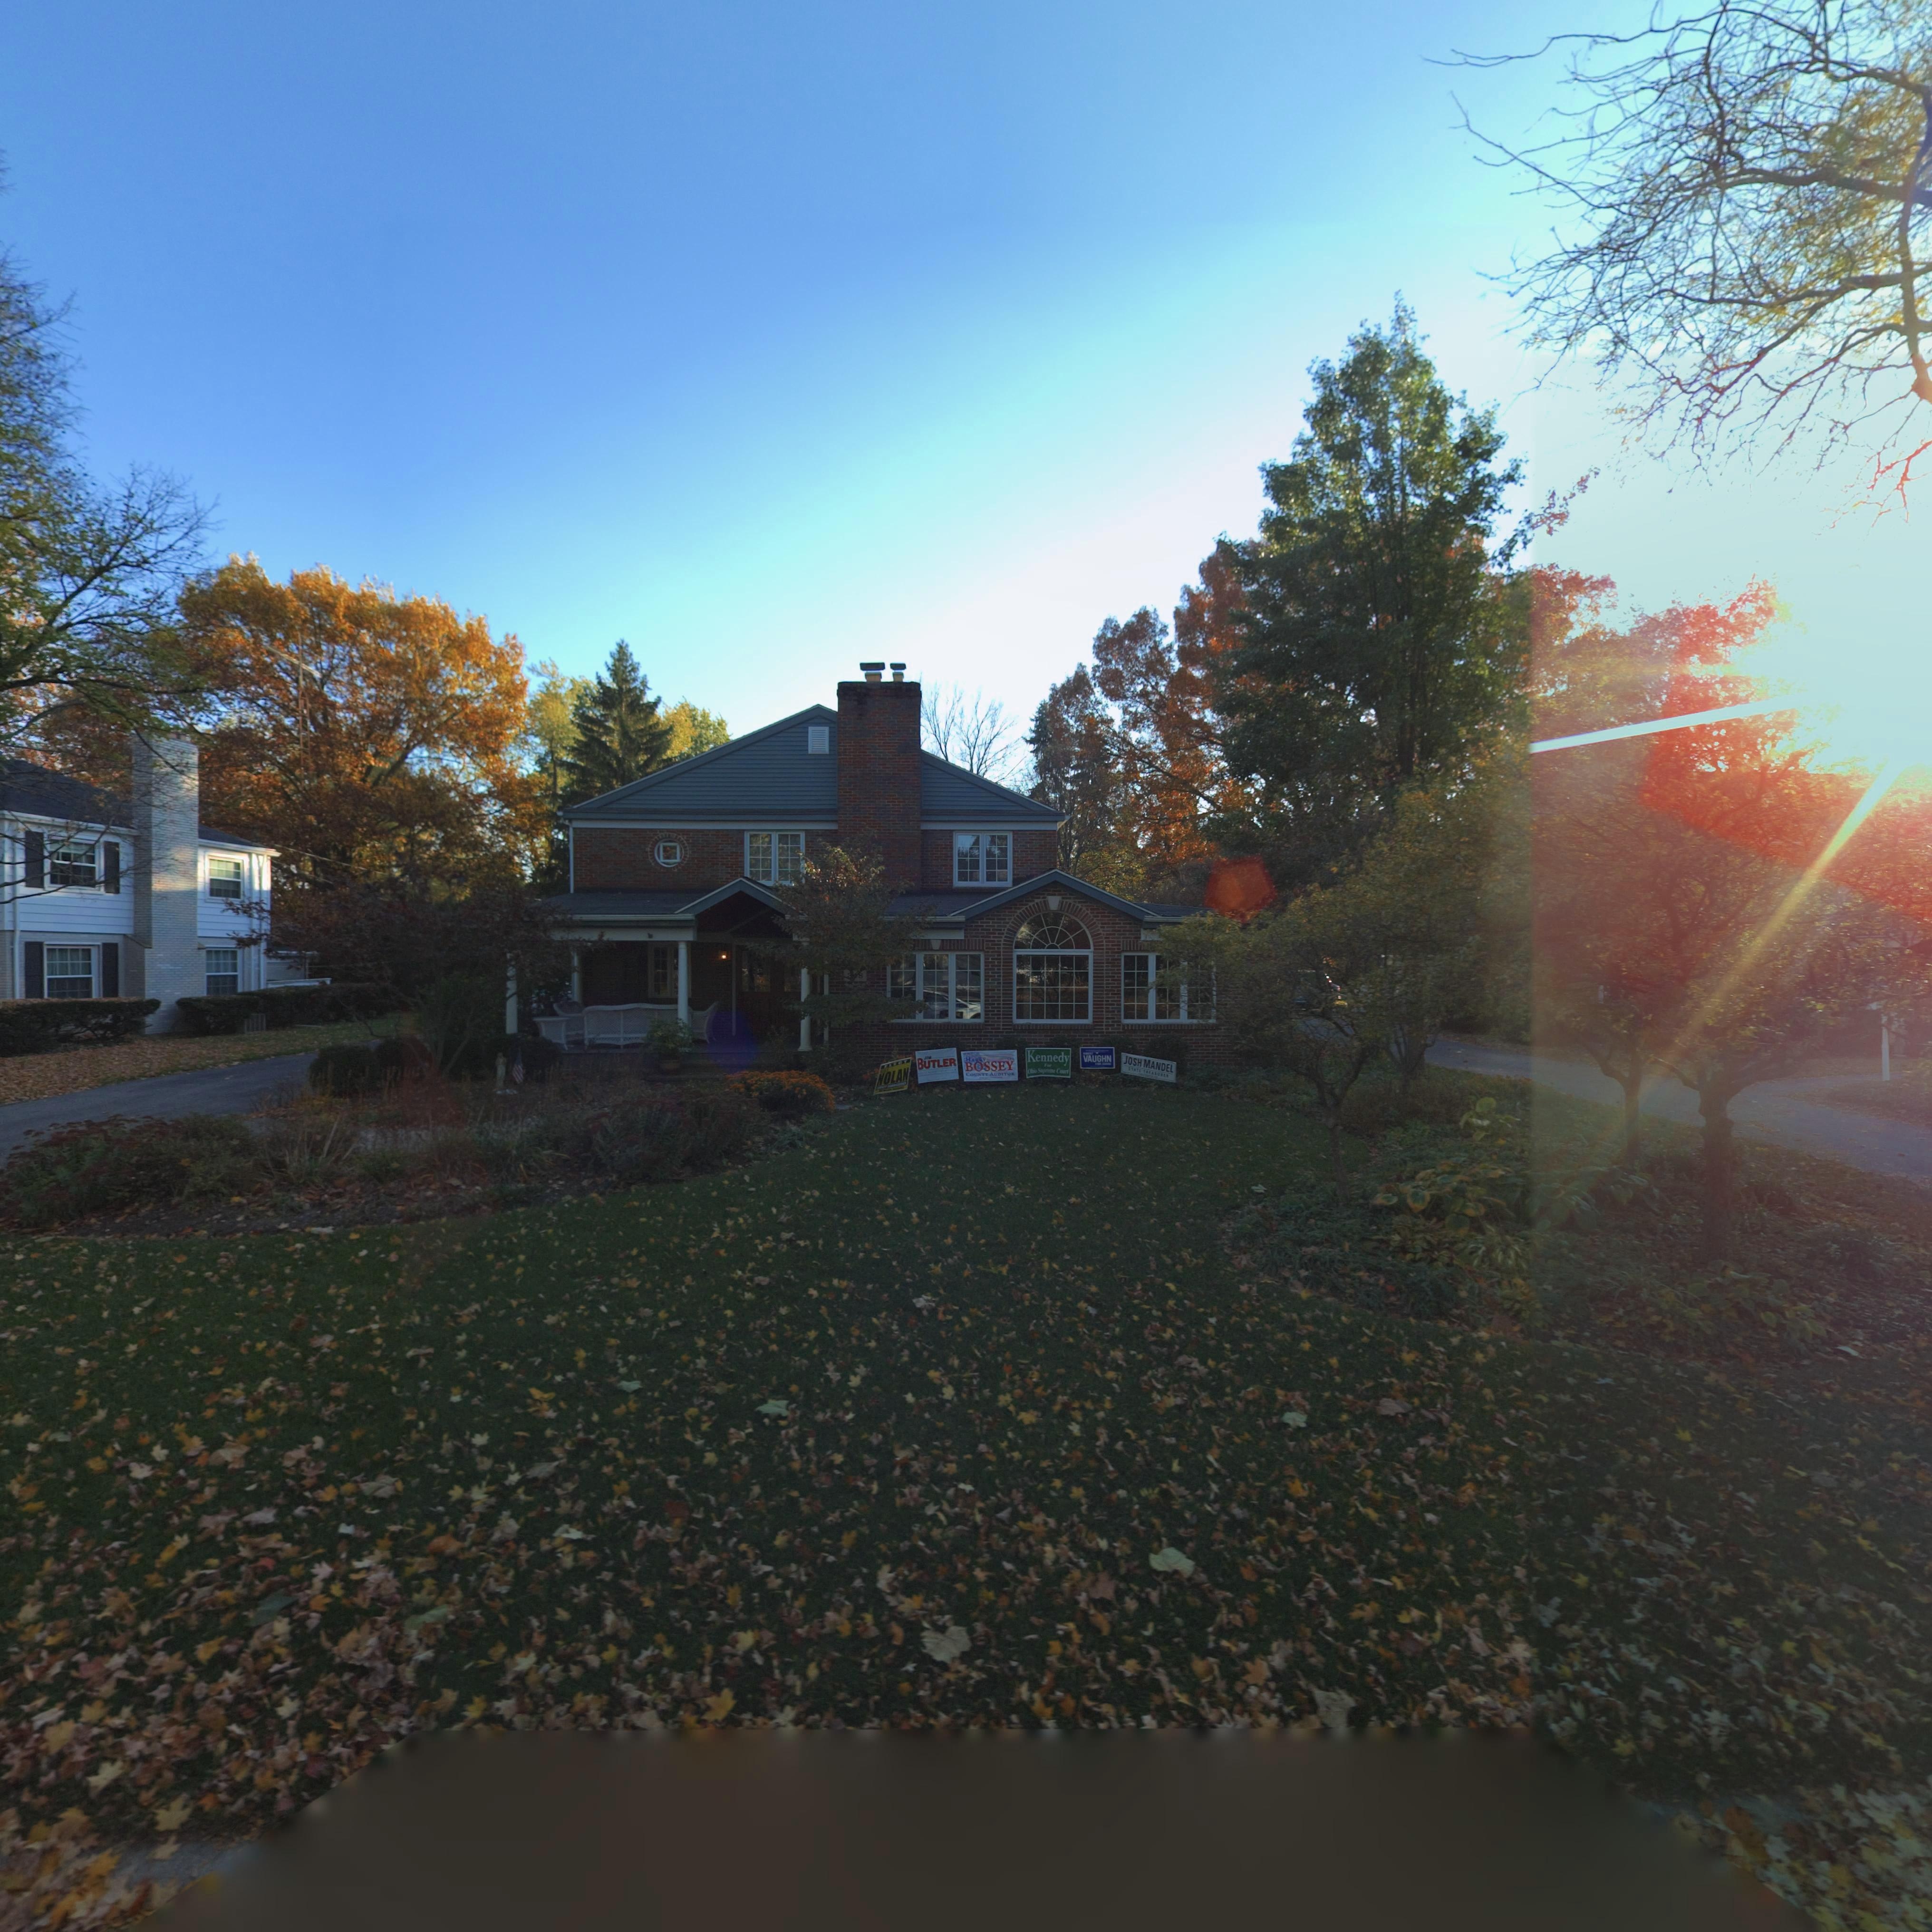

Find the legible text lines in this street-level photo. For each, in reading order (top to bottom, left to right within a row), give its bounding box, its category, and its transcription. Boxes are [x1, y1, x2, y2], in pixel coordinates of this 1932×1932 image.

[858, 972, 864, 979] StreetNumber: 8